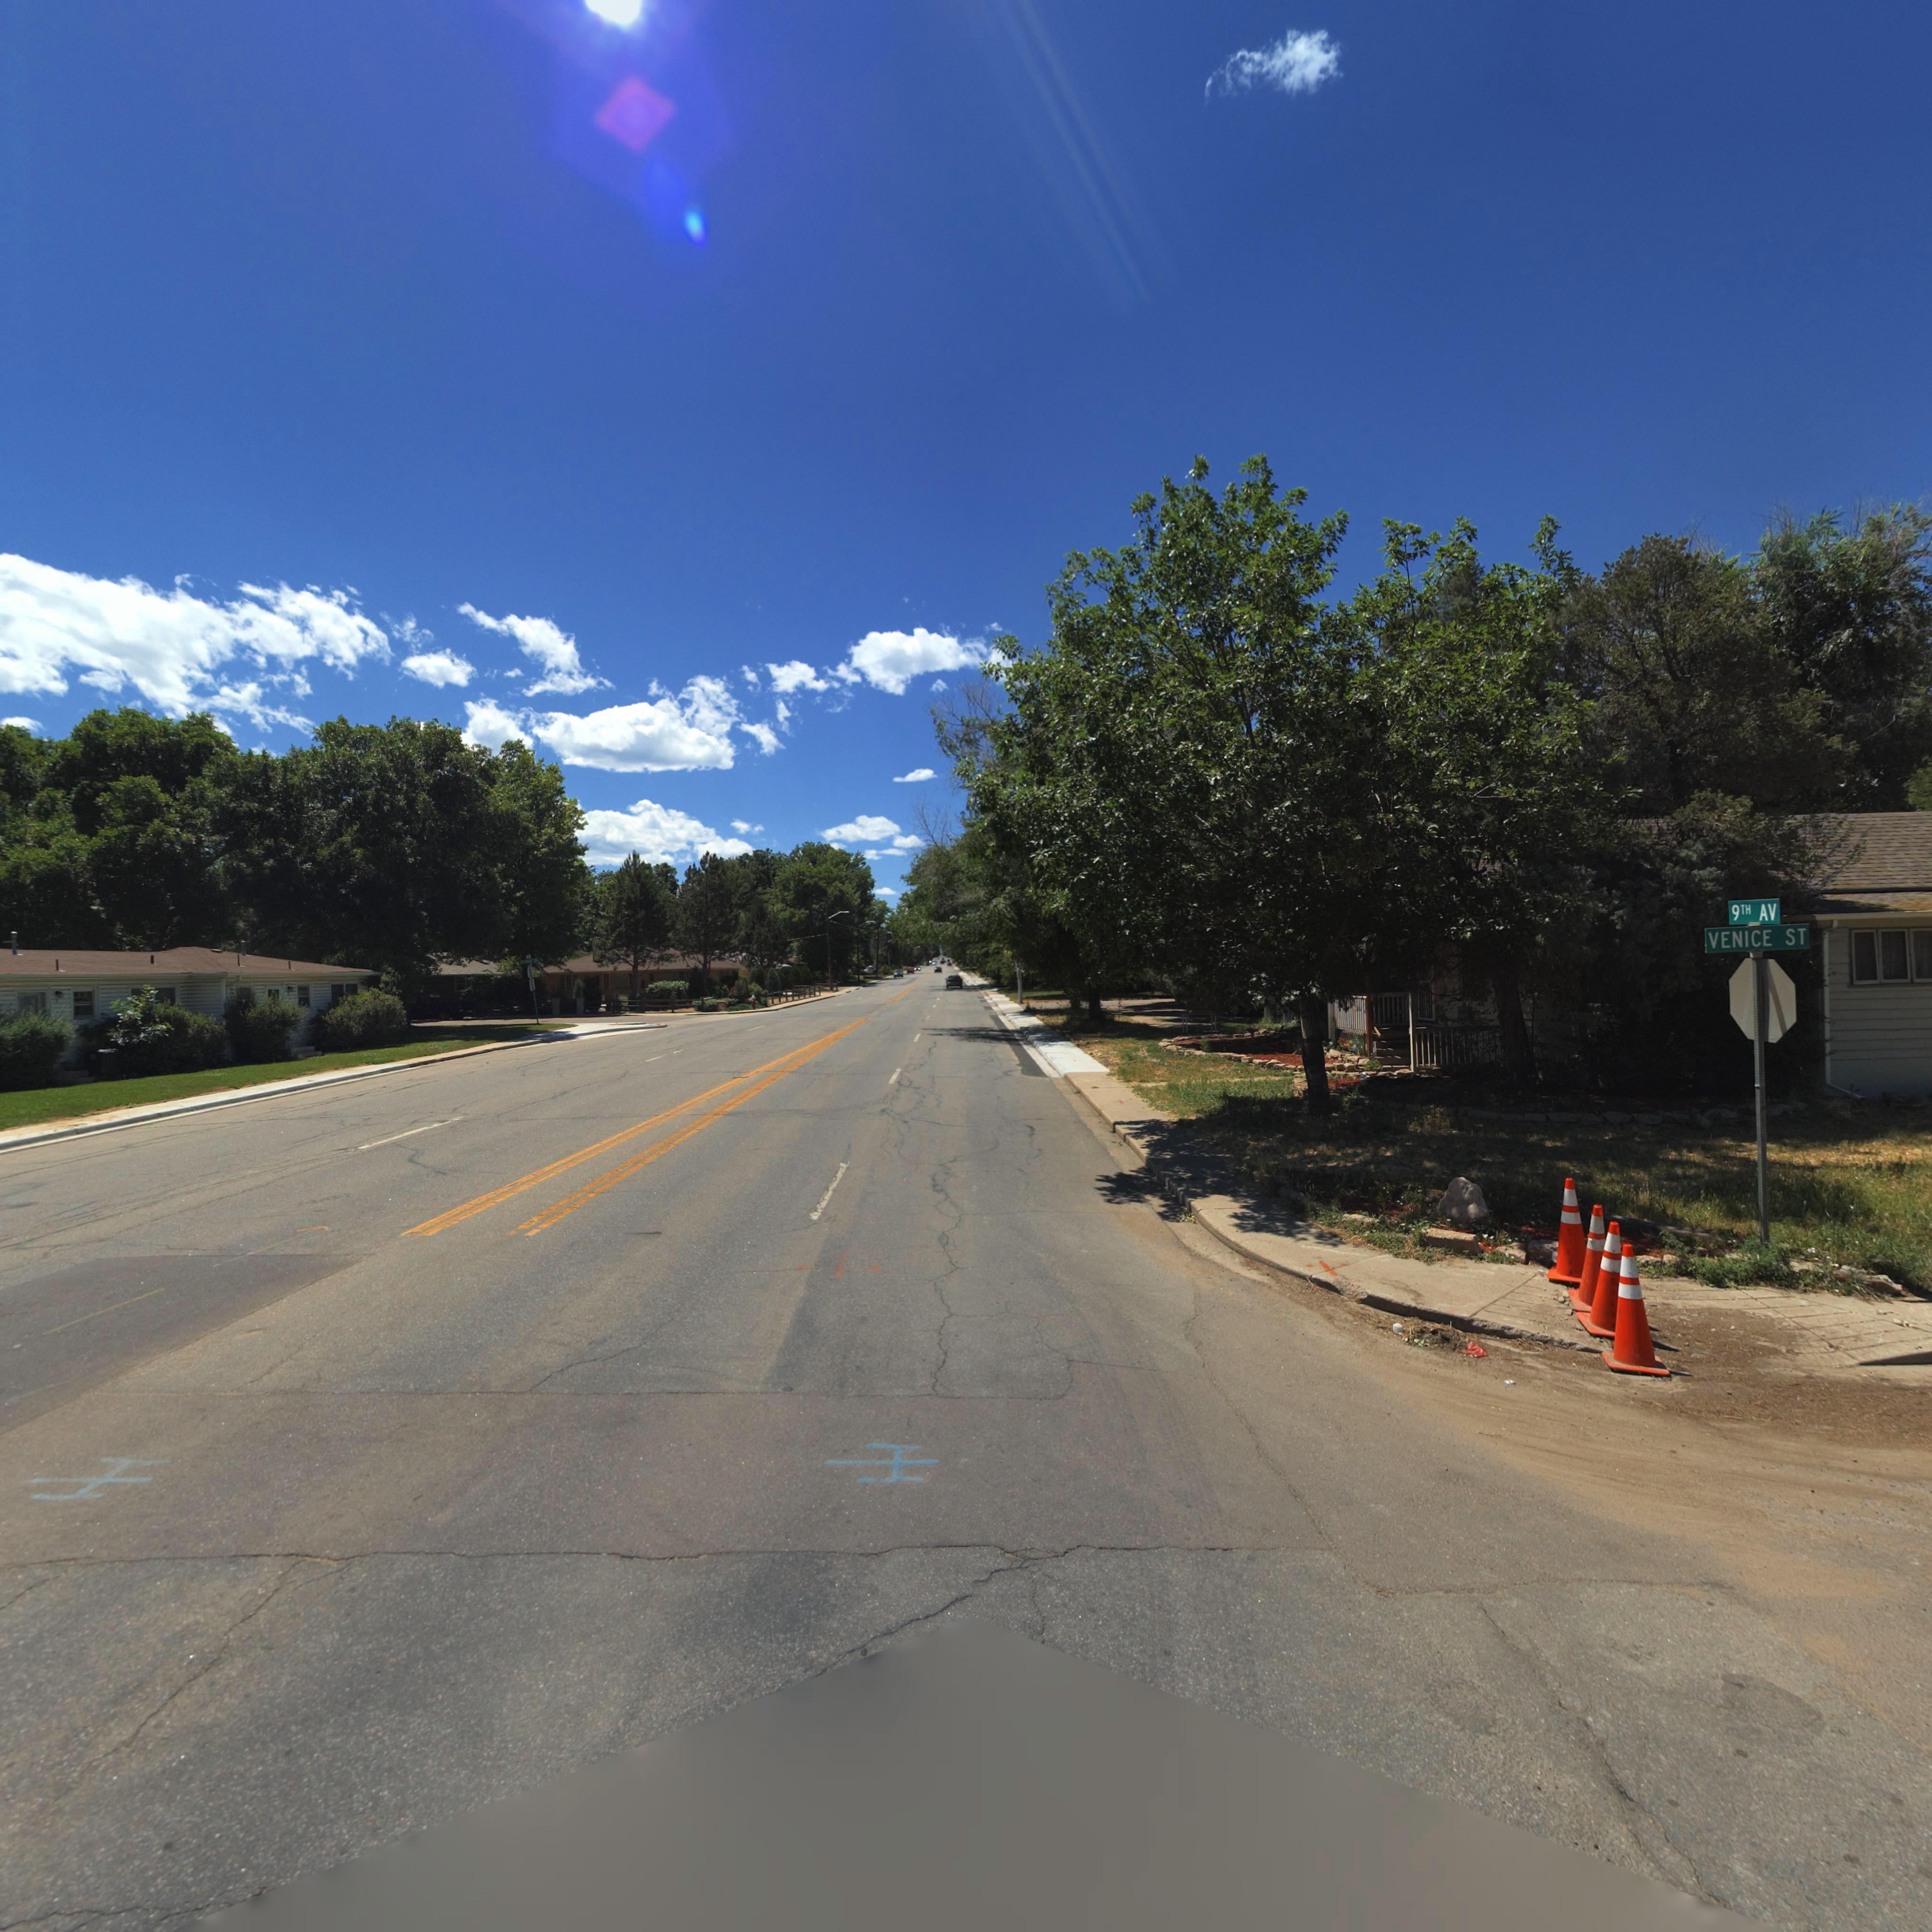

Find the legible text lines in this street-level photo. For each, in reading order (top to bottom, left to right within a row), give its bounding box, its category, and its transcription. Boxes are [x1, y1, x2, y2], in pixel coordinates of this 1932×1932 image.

[1731, 903, 1777, 921] StreetName: 9TH AV
[1707, 927, 1806, 949] StreetName: VENICE ST